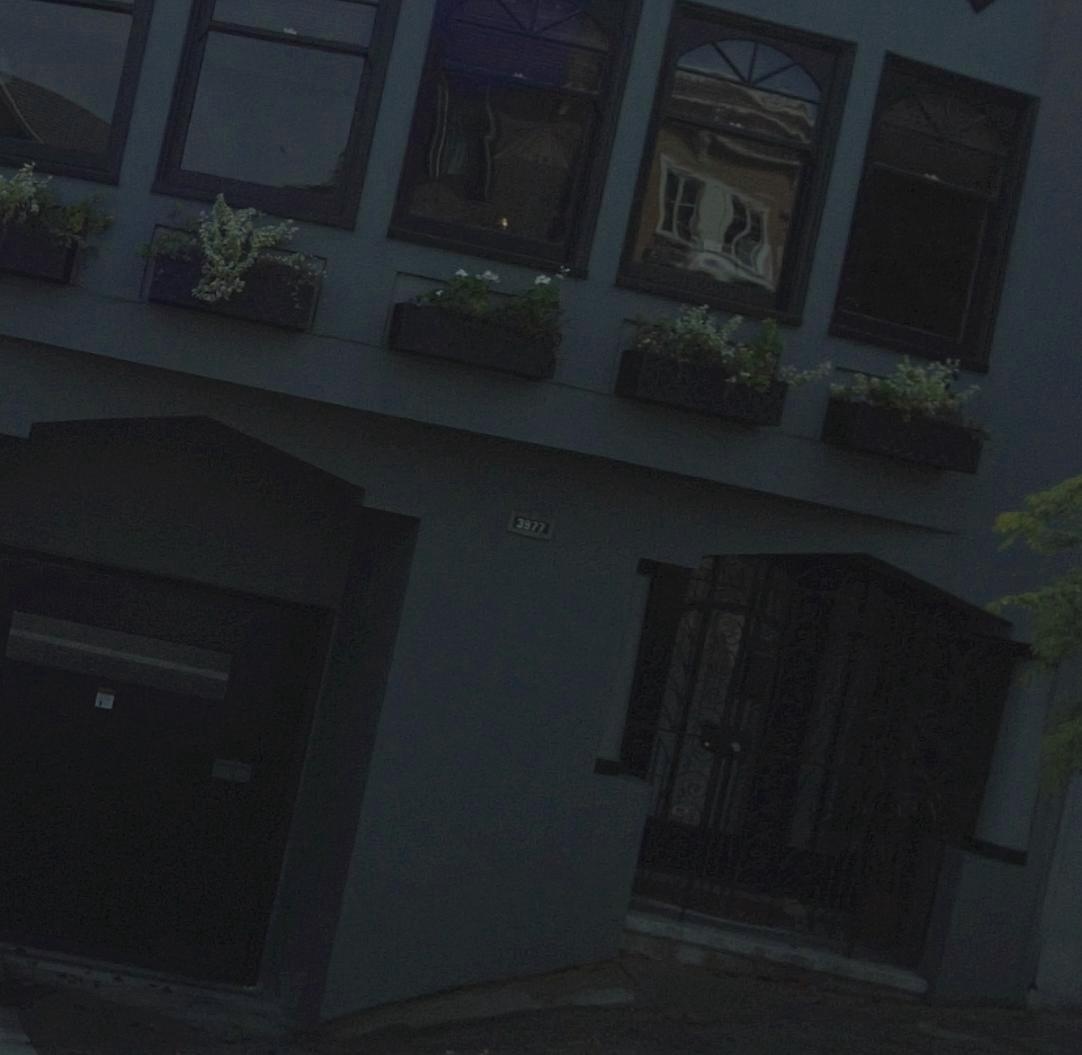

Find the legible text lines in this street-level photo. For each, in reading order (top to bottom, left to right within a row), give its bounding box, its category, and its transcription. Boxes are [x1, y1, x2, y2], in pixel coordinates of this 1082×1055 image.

[516, 517, 547, 534] StreetNumber: 3977